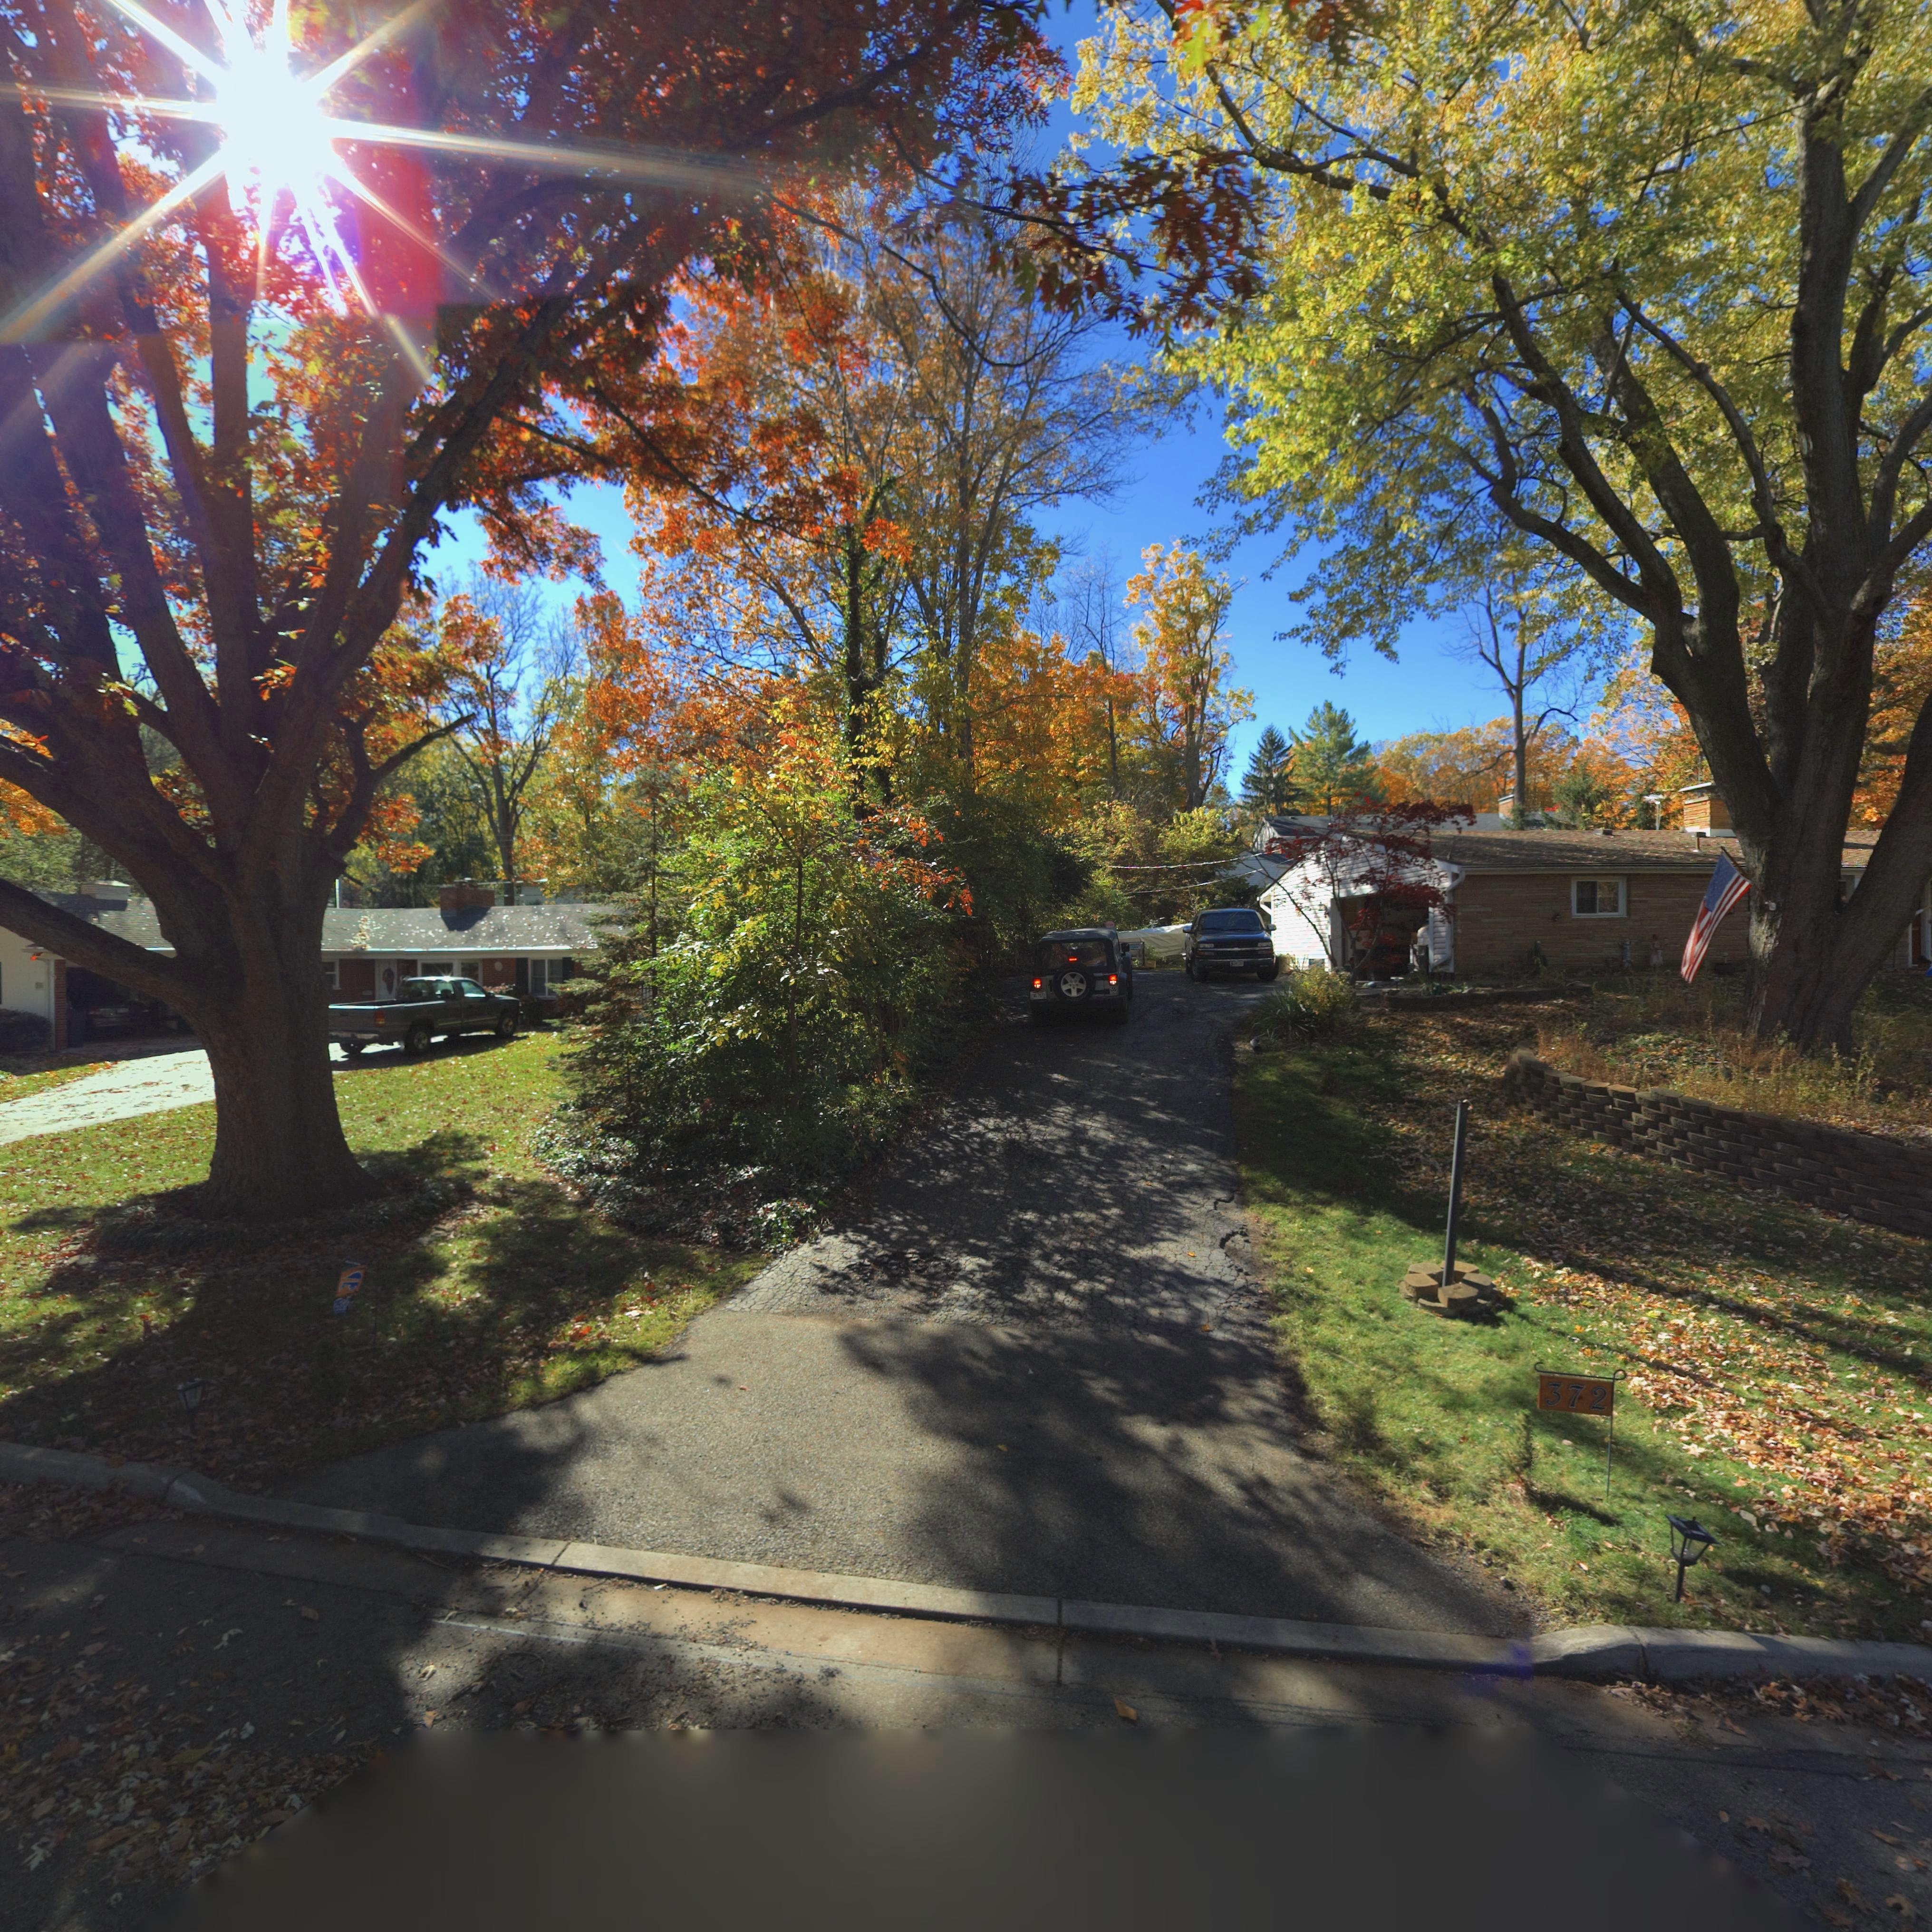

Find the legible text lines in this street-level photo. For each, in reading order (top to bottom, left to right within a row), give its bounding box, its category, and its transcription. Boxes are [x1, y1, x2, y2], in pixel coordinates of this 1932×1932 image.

[1544, 1380, 1609, 1413] StreetNumber: 372